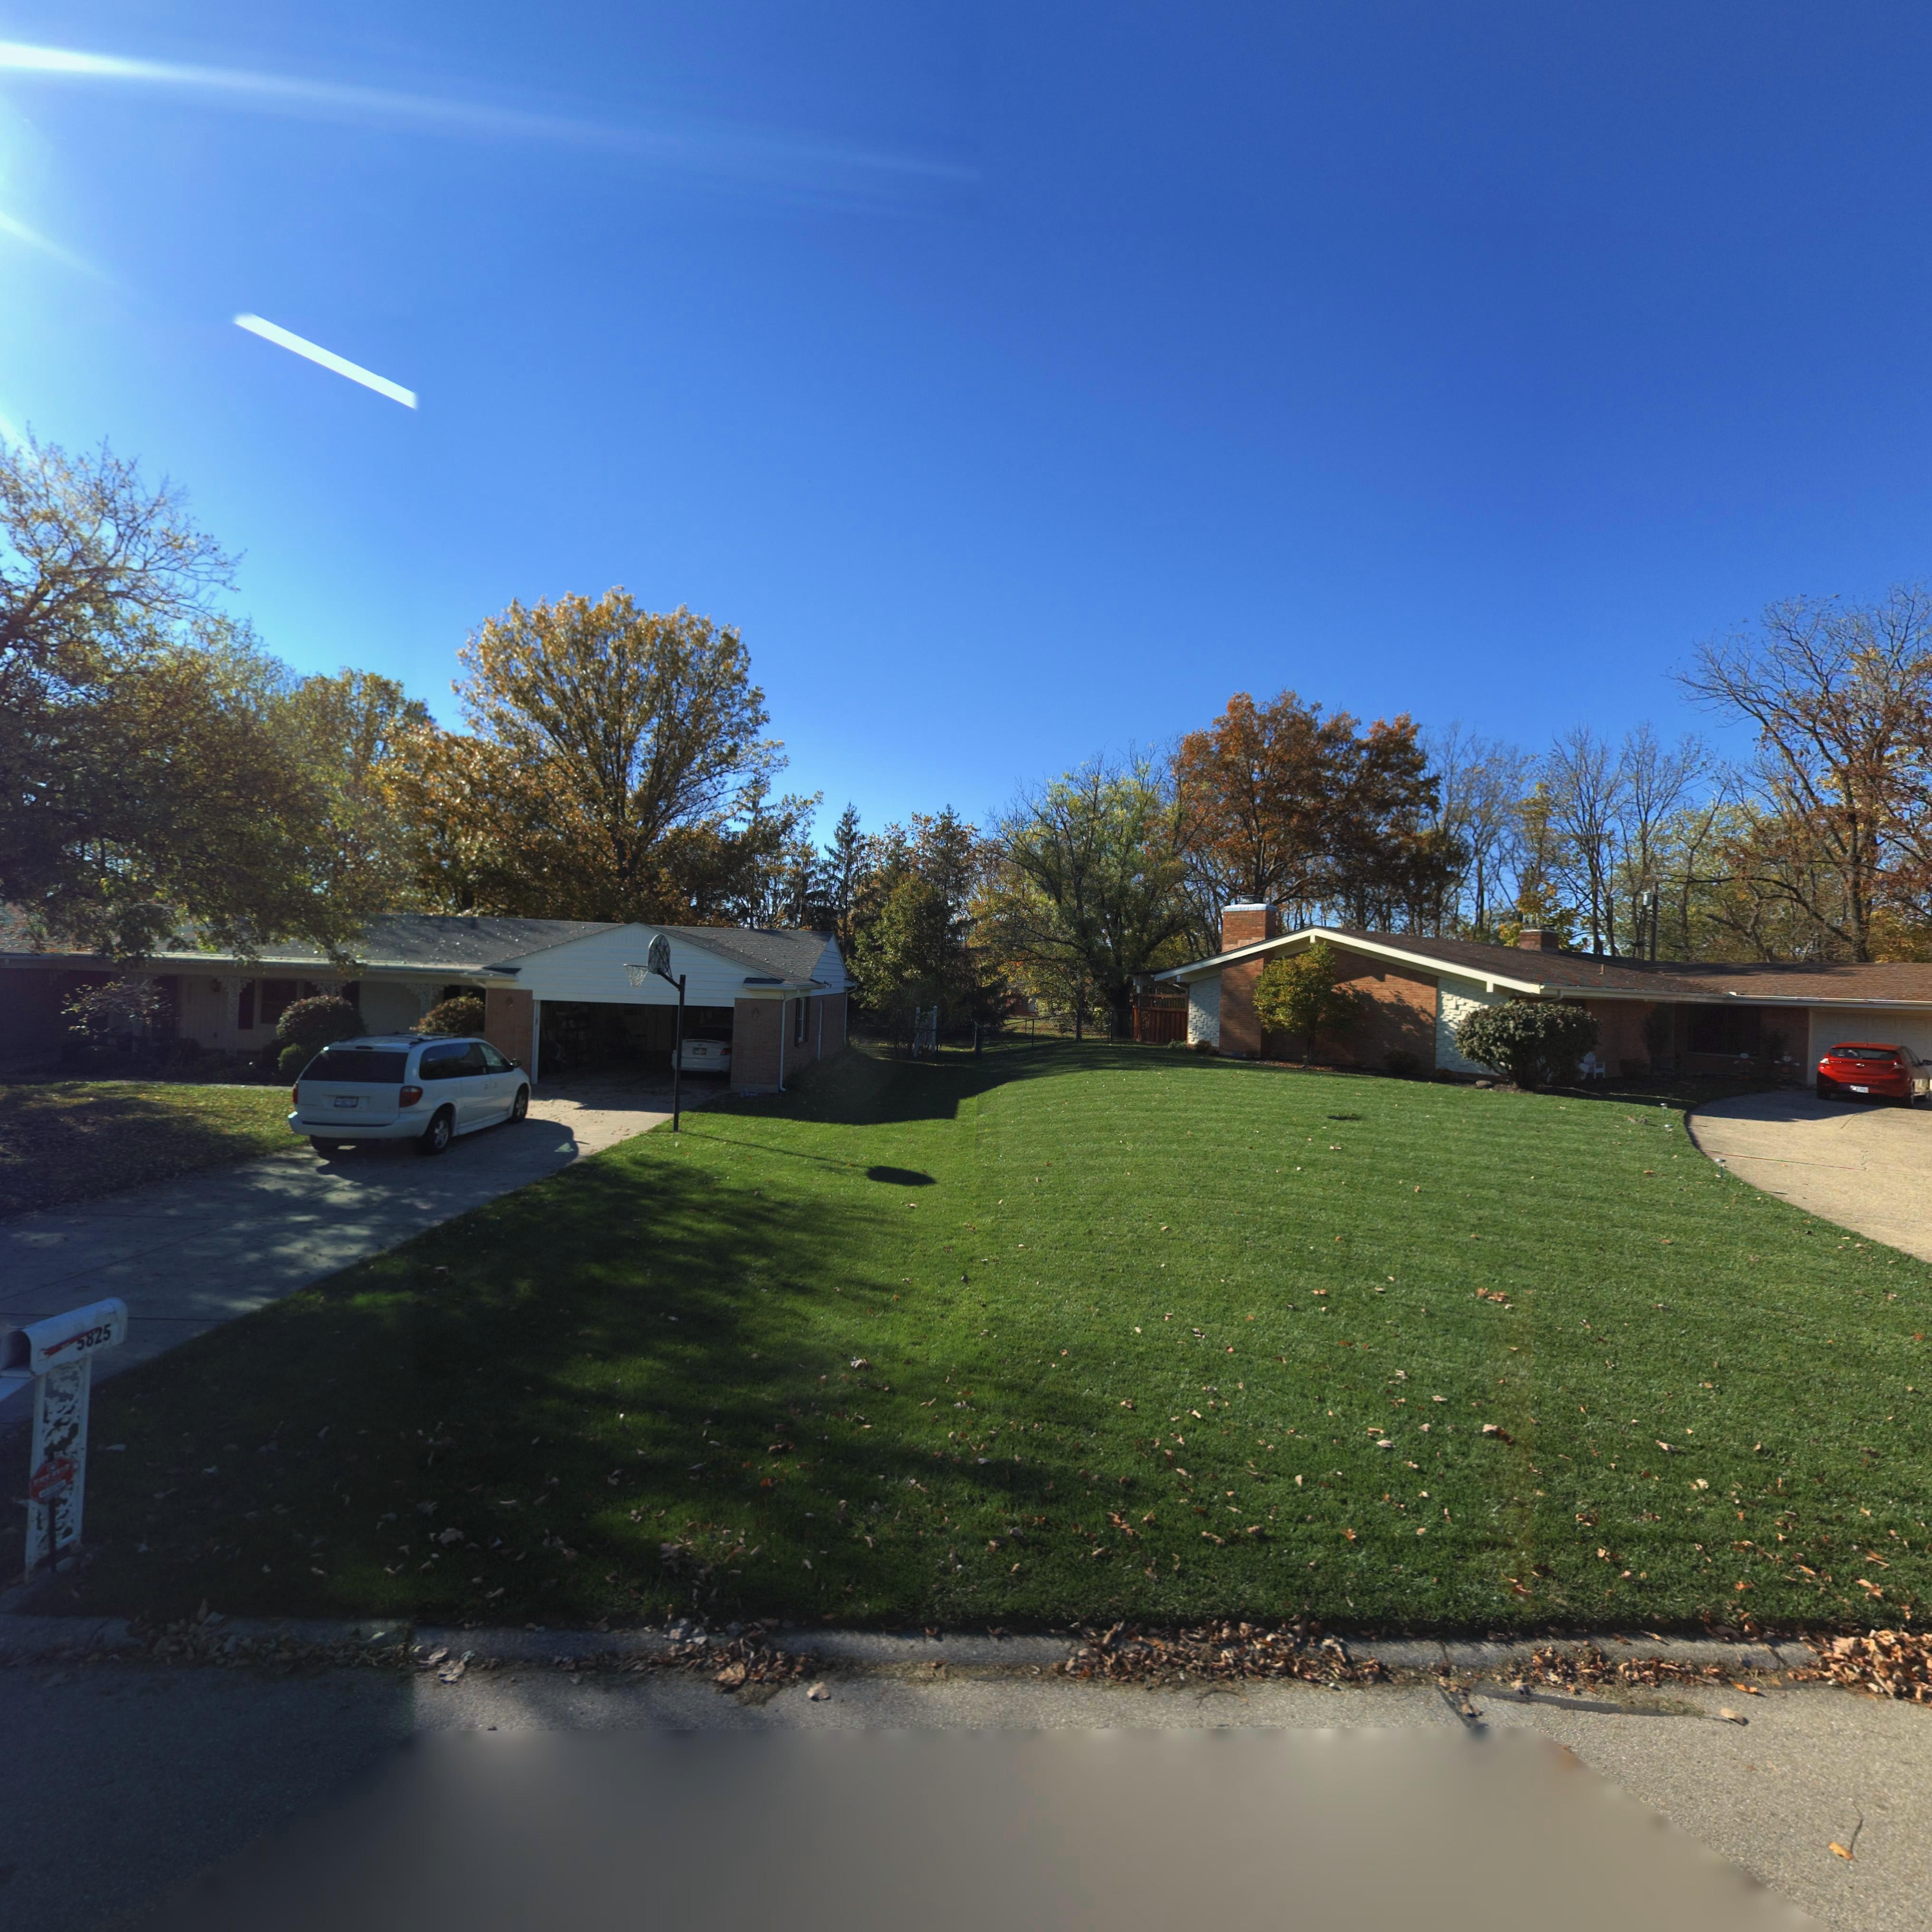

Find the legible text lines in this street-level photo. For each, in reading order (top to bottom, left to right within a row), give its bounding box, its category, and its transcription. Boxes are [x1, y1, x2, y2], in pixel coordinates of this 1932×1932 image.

[77, 1322, 112, 1354] StreetNumber: 5825